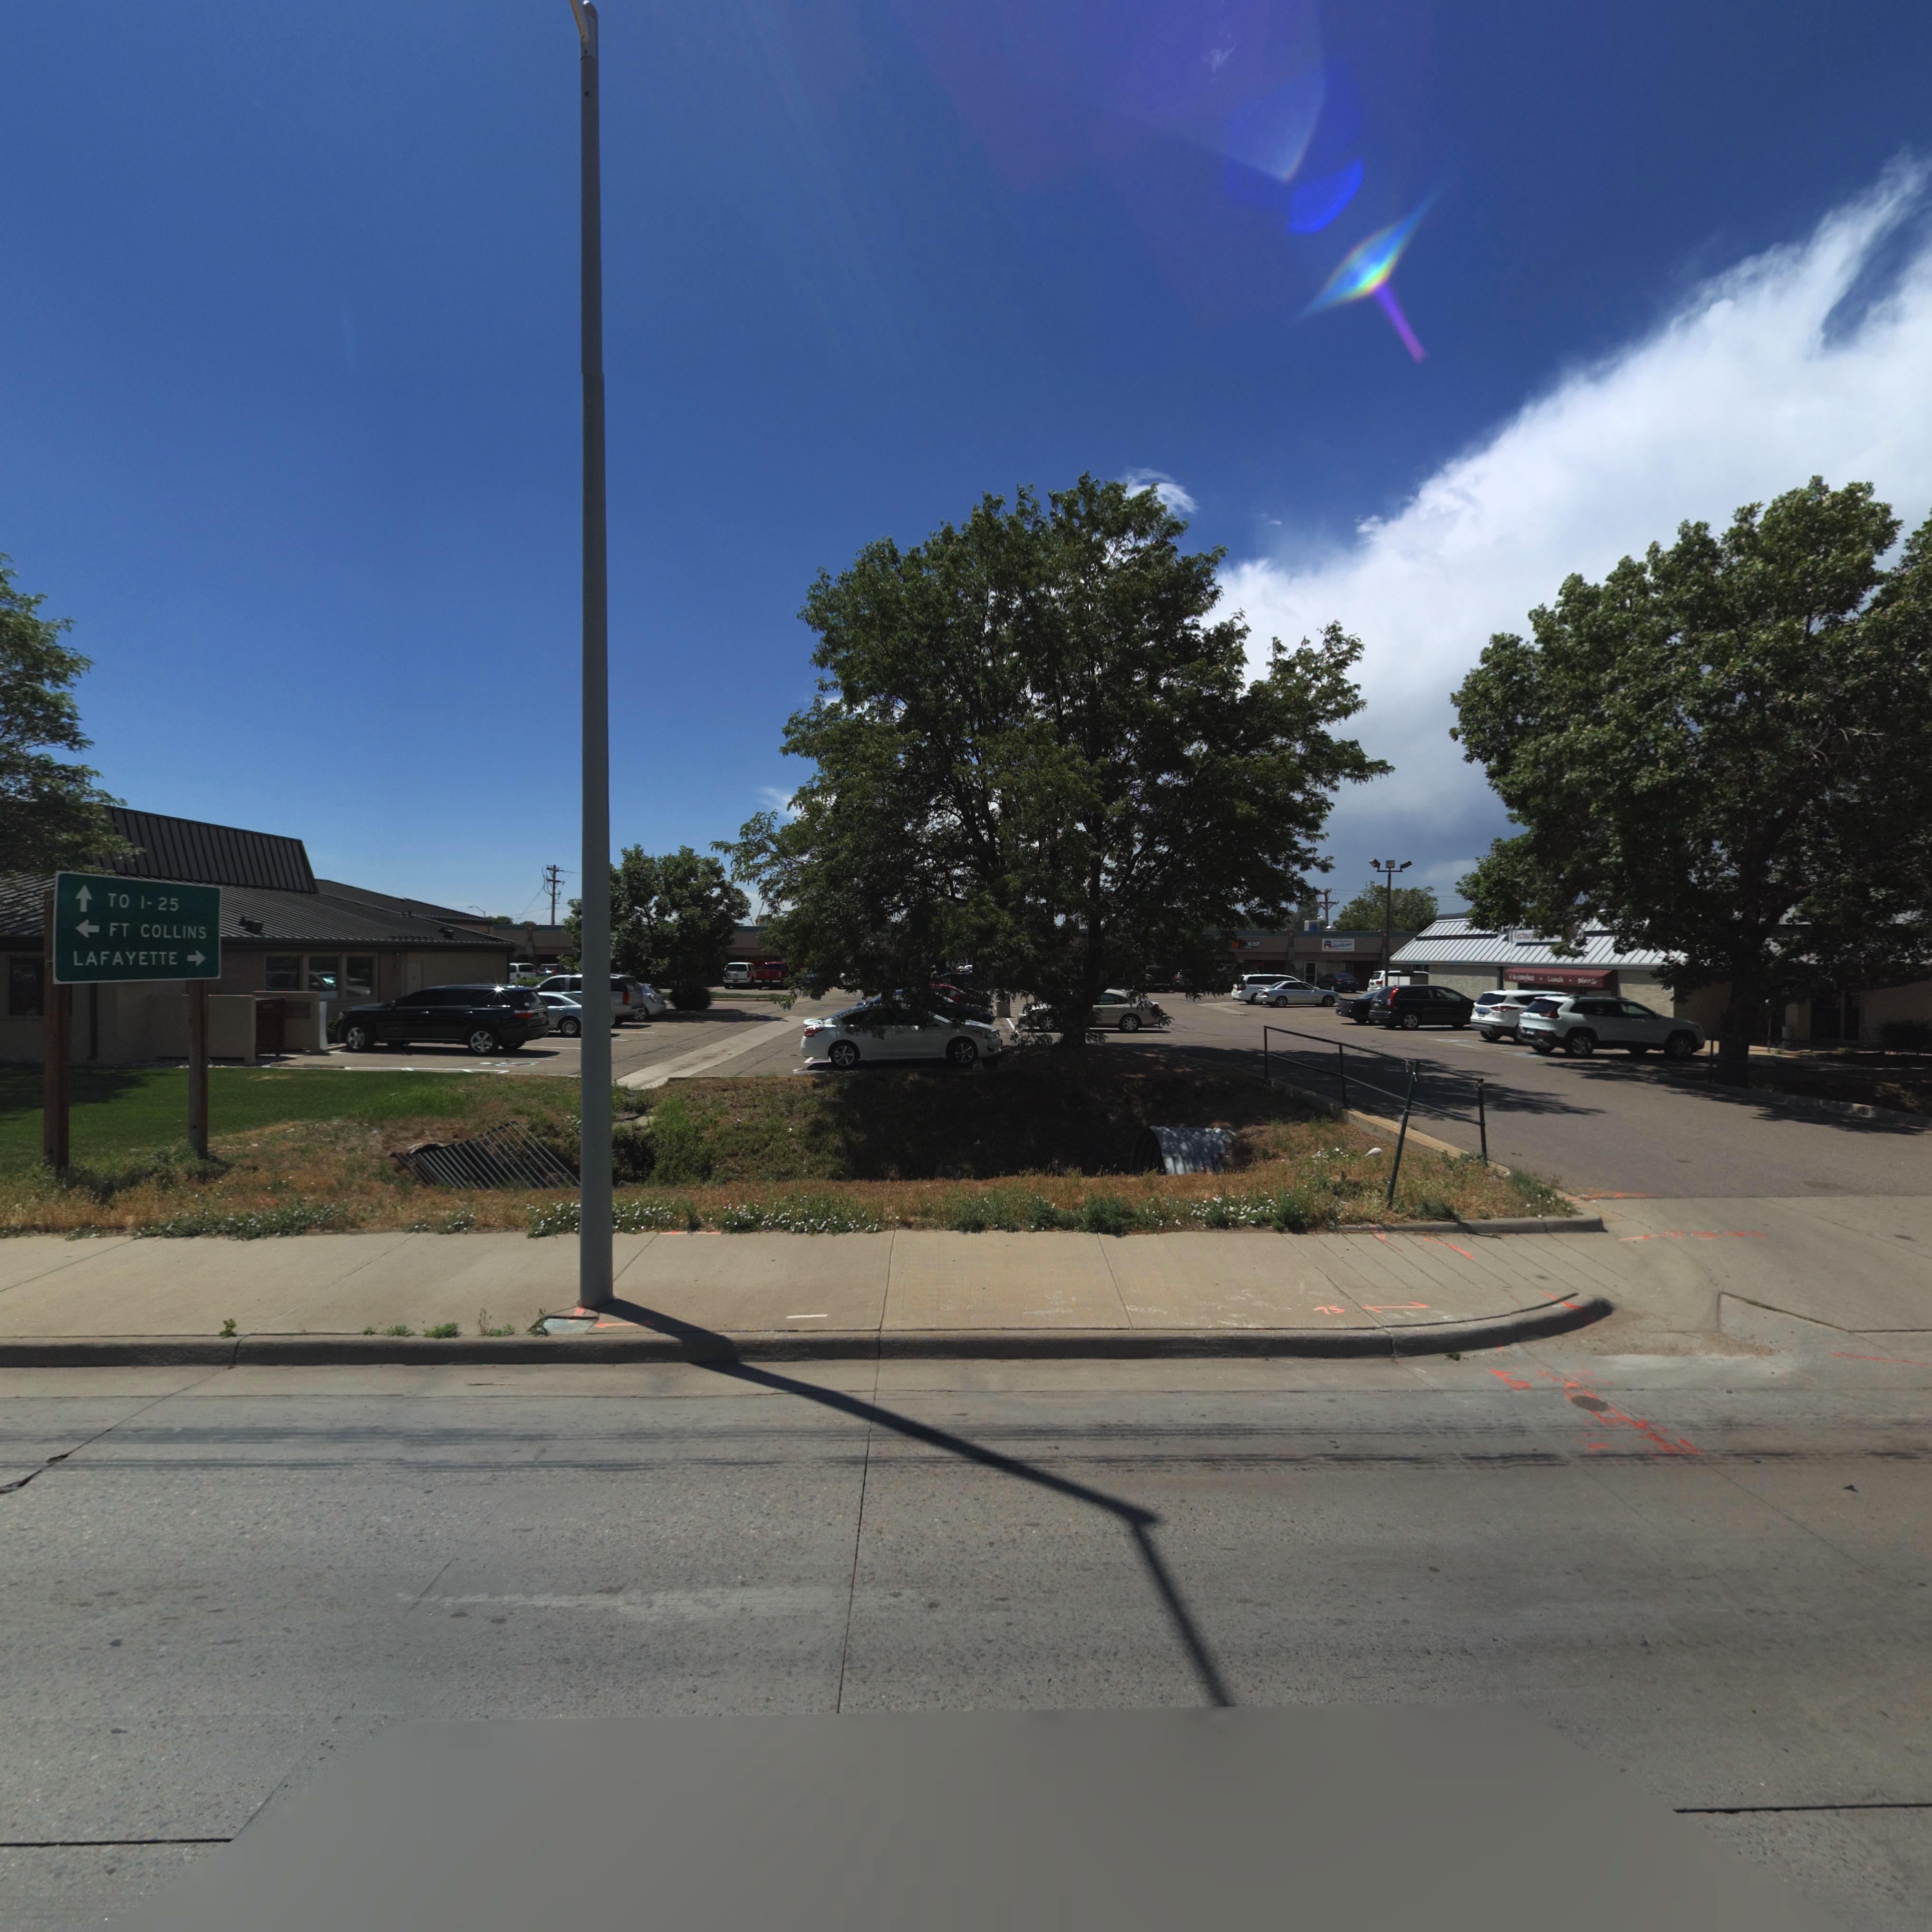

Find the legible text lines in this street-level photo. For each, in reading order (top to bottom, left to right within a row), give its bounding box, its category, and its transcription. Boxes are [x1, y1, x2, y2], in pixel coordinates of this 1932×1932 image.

[1514, 930, 1533, 939] BusinessName: Resta*
[1249, 940, 1261, 946] BusinessName: ost